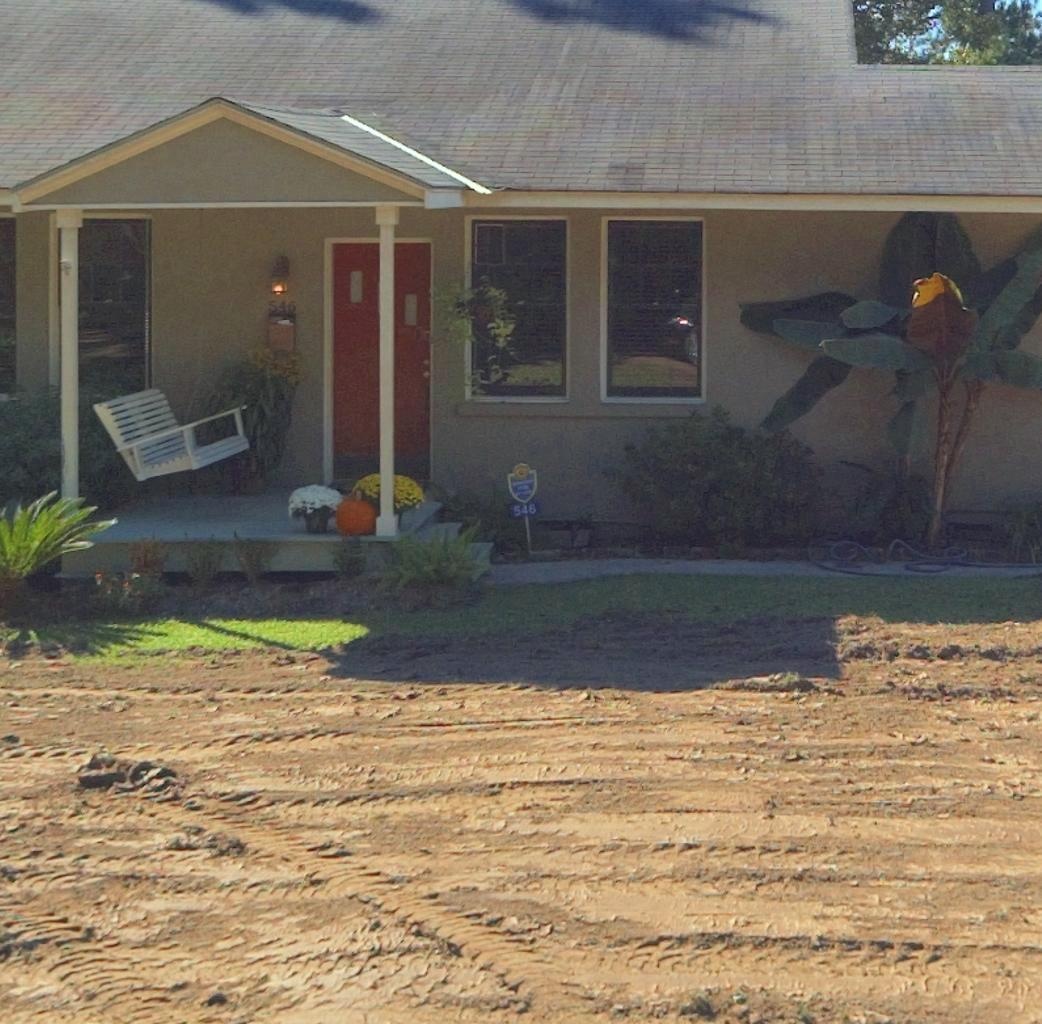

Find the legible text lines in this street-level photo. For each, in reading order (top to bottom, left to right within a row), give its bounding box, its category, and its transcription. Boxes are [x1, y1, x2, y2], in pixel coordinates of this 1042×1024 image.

[512, 502, 538, 518] StreetNumber: 546